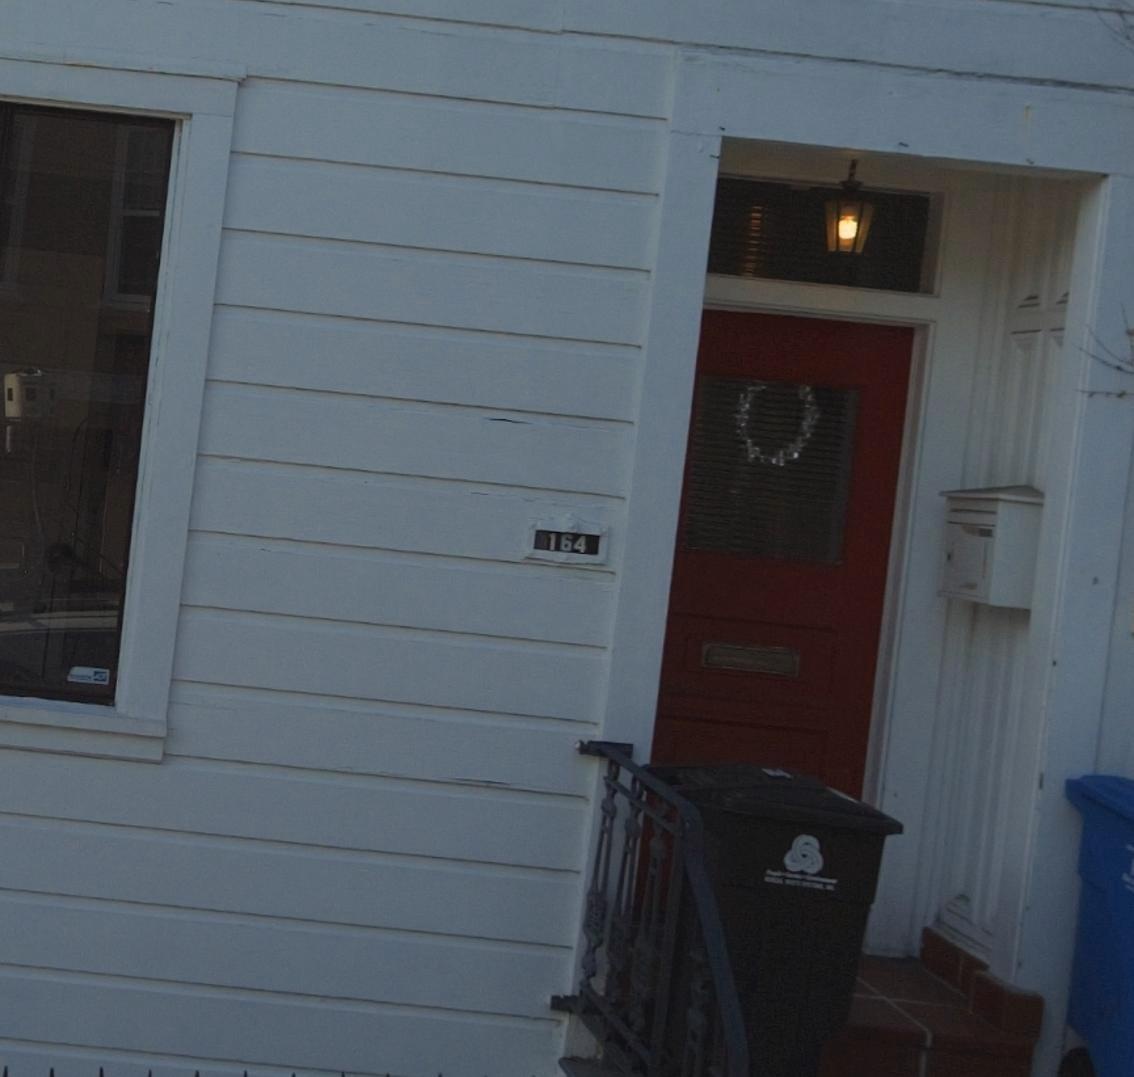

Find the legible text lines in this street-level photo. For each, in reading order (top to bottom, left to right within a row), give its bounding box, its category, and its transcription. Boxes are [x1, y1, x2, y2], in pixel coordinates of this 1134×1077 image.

[547, 530, 589, 555] StreetNumber: 164